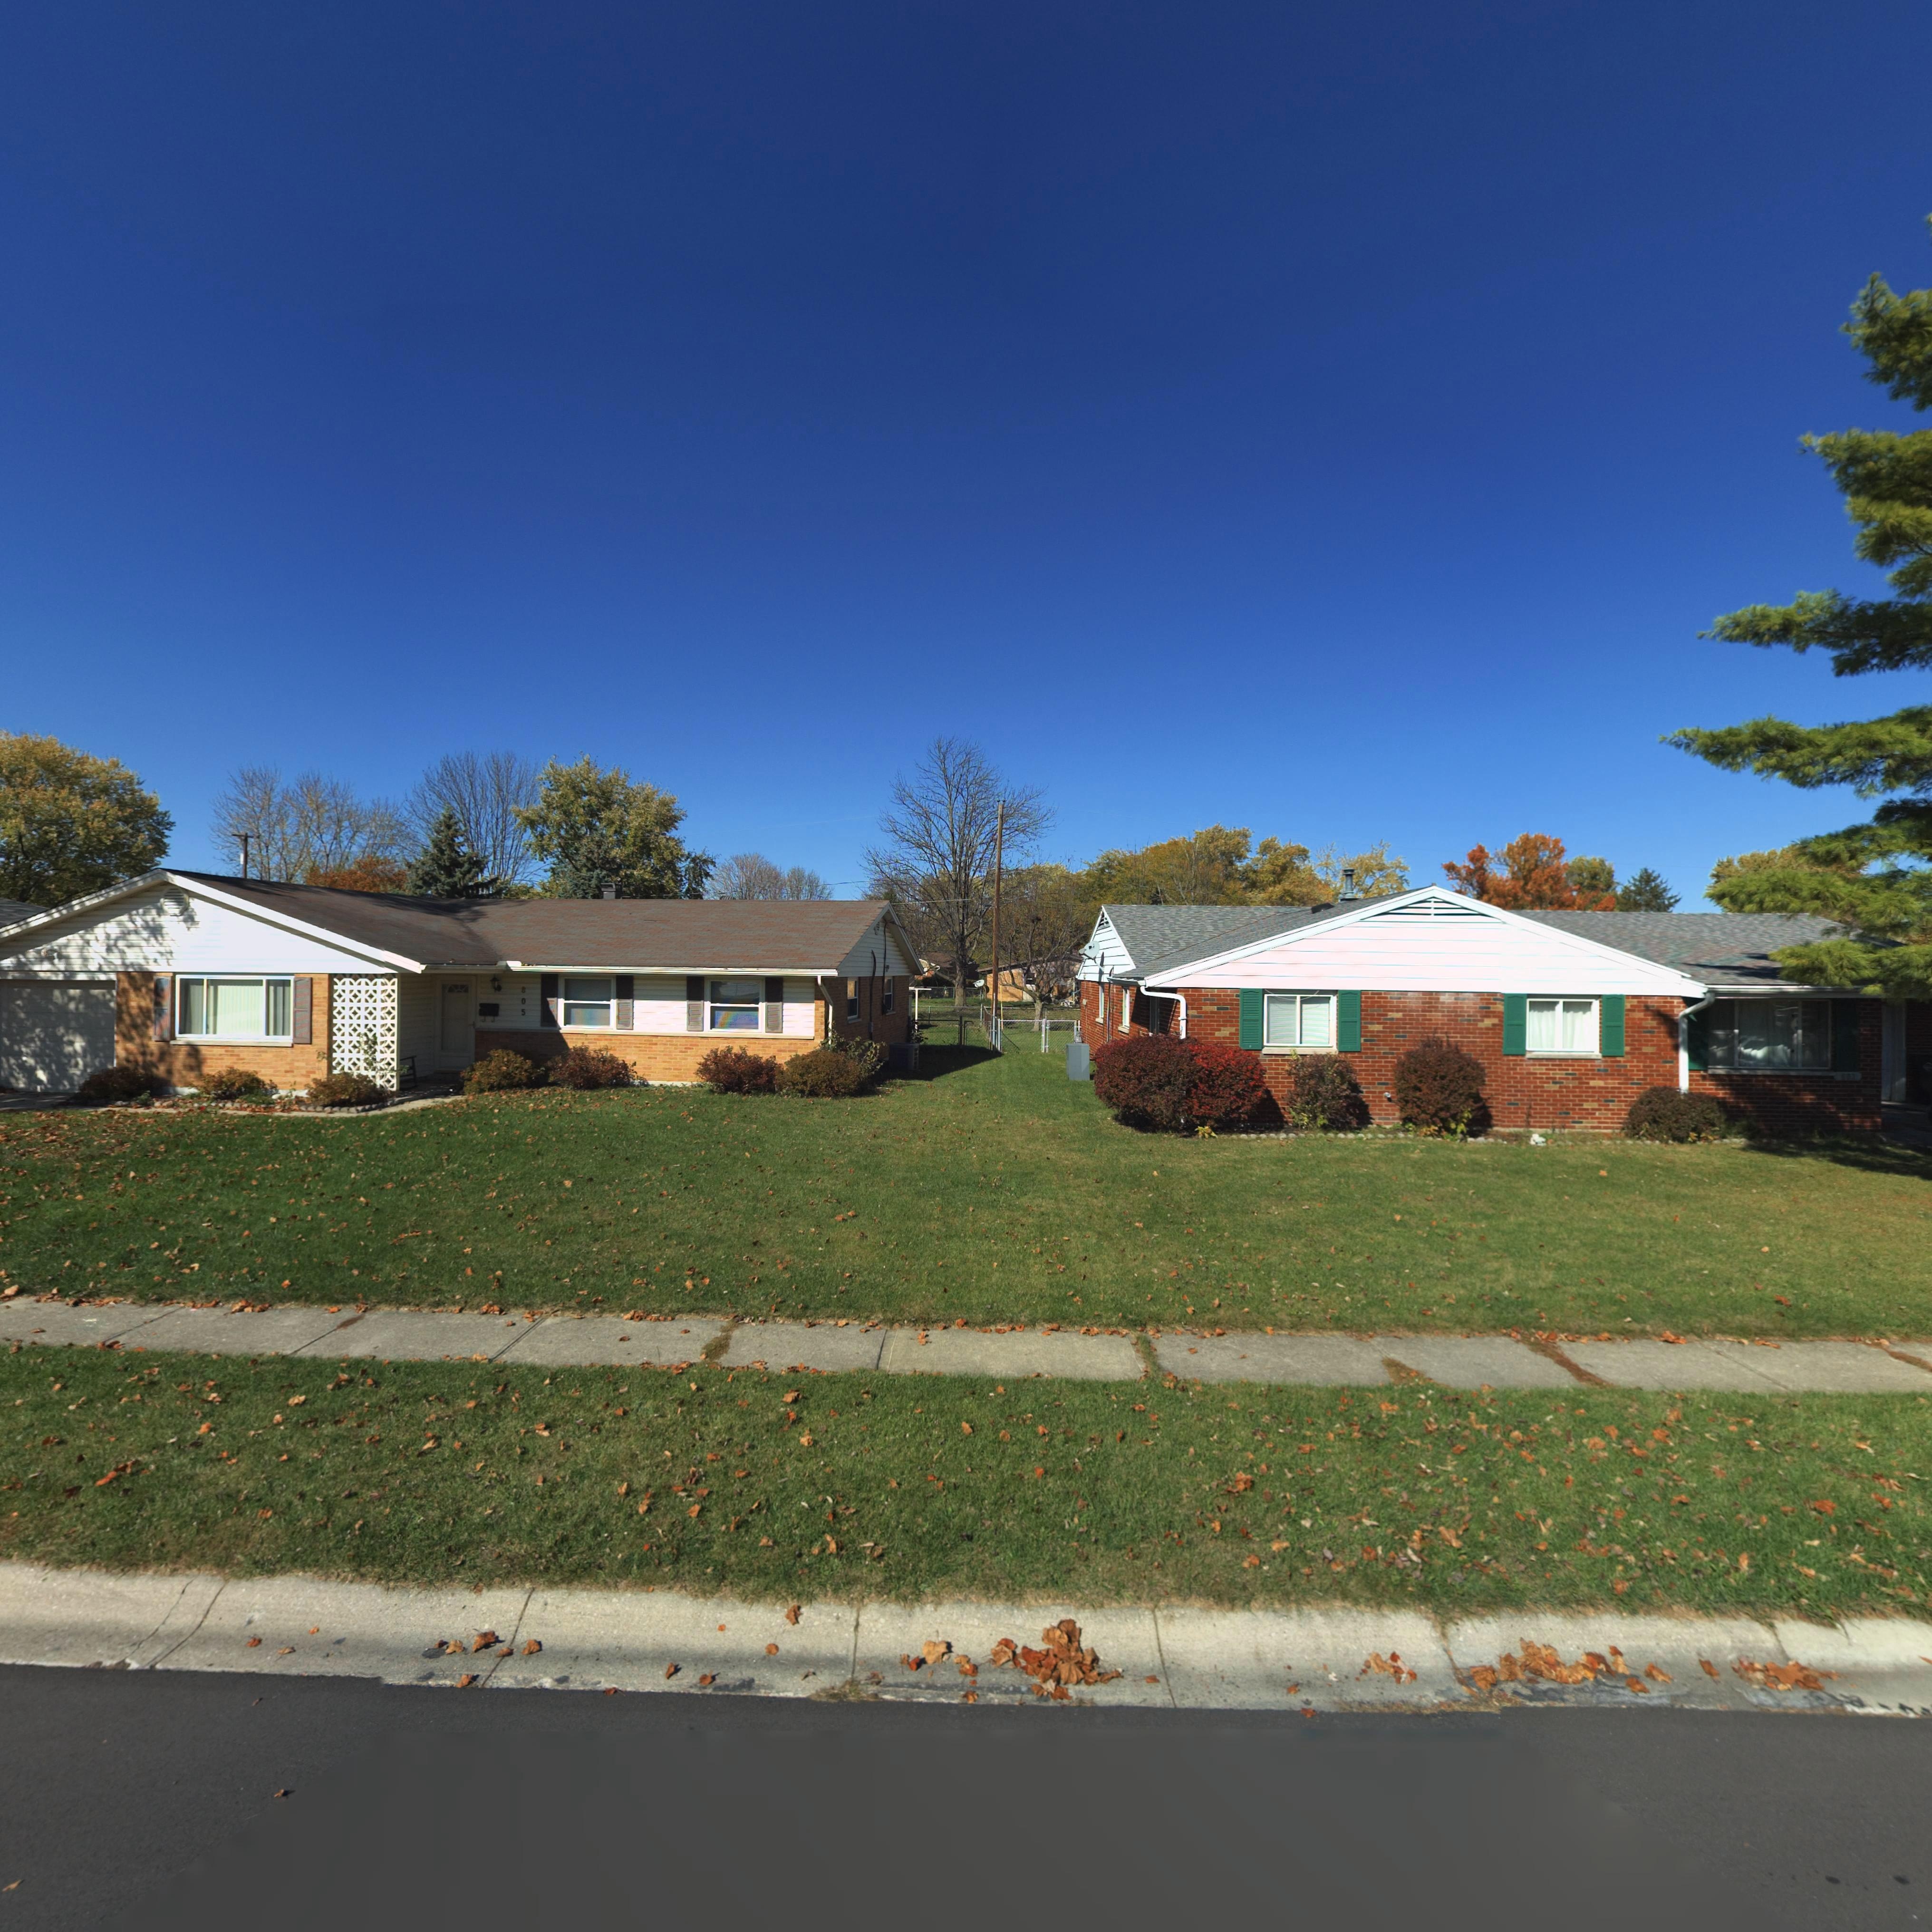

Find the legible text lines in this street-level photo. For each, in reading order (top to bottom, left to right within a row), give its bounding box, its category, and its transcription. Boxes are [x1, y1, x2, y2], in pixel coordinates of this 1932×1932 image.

[521, 986, 526, 1016] StreetNumber: 805
[1840, 1072, 1856, 1081] StreetNumber: 803